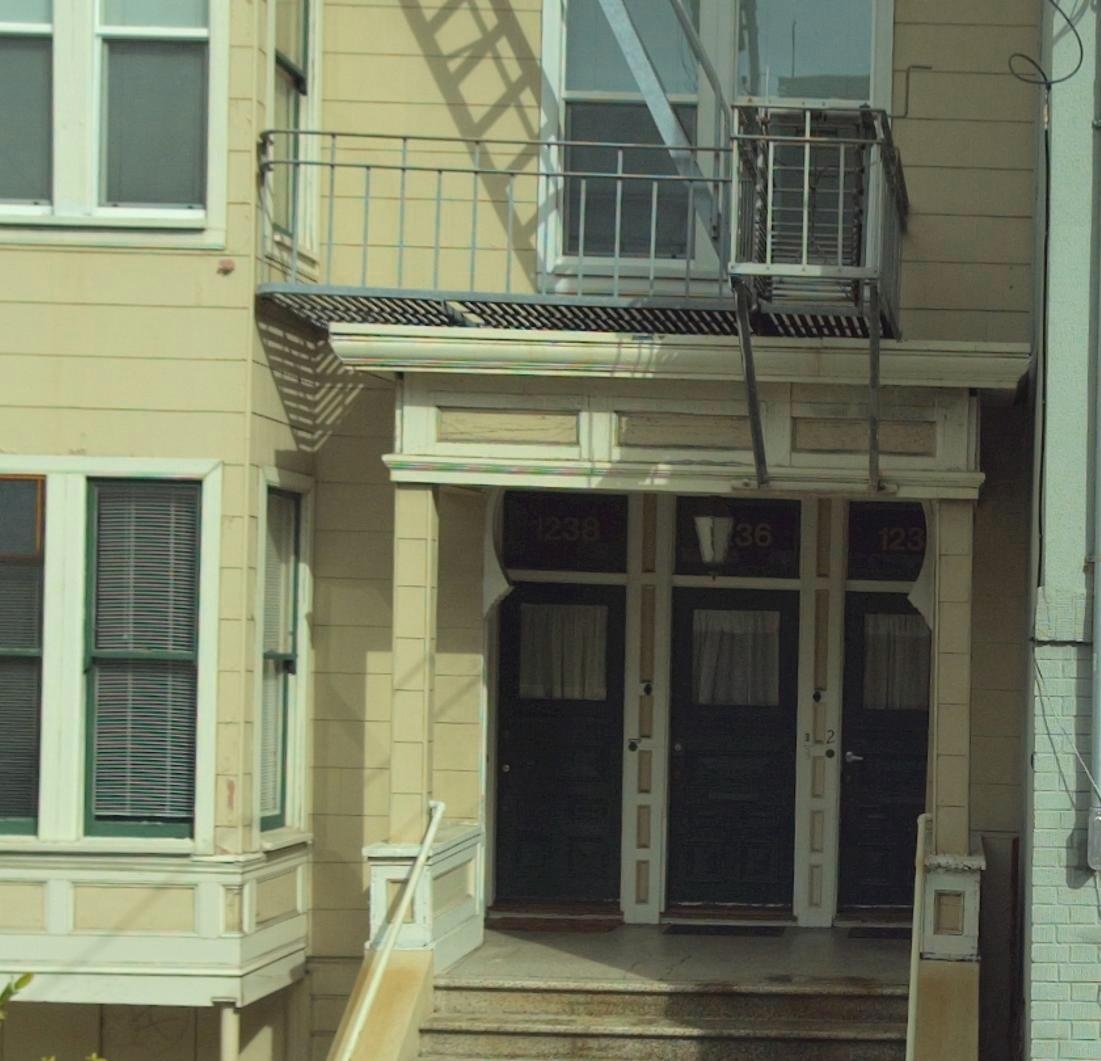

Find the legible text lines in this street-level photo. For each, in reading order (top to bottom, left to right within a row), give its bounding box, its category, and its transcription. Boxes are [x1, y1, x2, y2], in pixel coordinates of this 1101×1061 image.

[534, 515, 602, 543] StreetNumber: 1238
[732, 520, 774, 549] StreetNumber: 36
[875, 524, 927, 553] StreetNumber: 123
[824, 727, 837, 745] None: 2